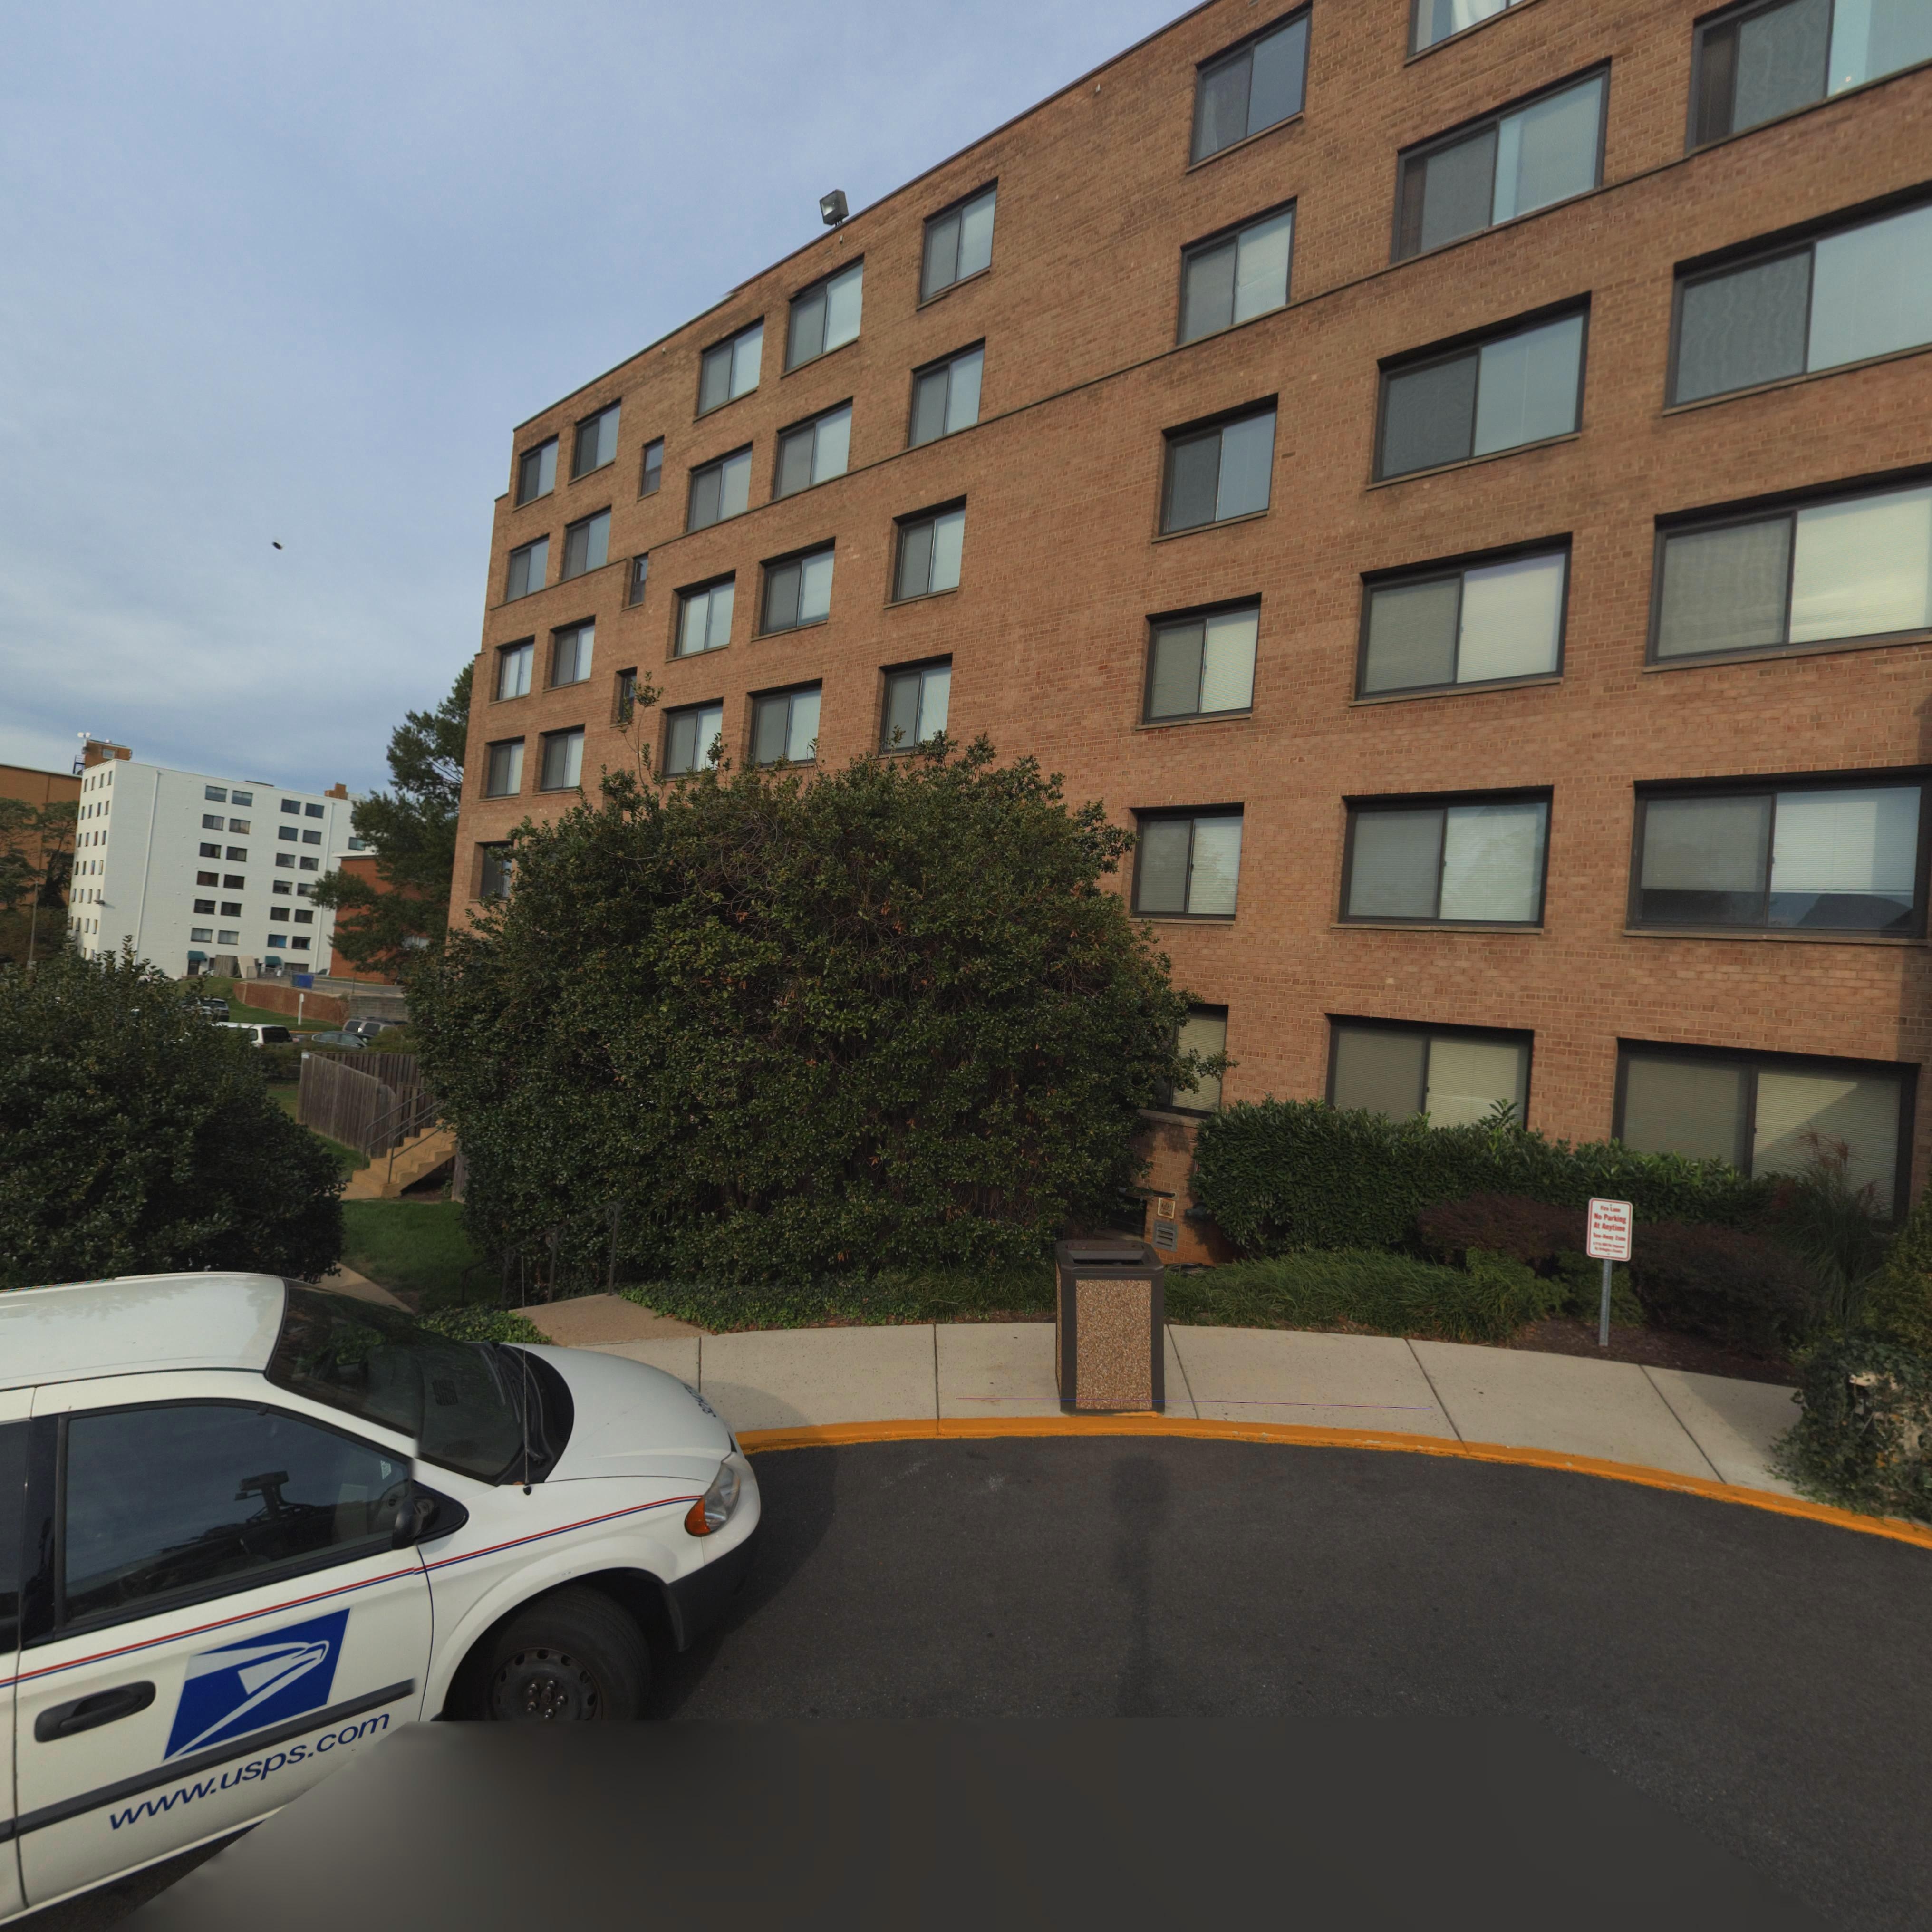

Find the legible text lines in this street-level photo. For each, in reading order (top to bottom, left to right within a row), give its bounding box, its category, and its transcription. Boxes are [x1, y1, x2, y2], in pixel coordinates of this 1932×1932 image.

[1593, 1211, 1628, 1227] None: No Parking
[1592, 1220, 1626, 1234] None: At Anytime
[107, 1708, 396, 1836] None: www.usps.com